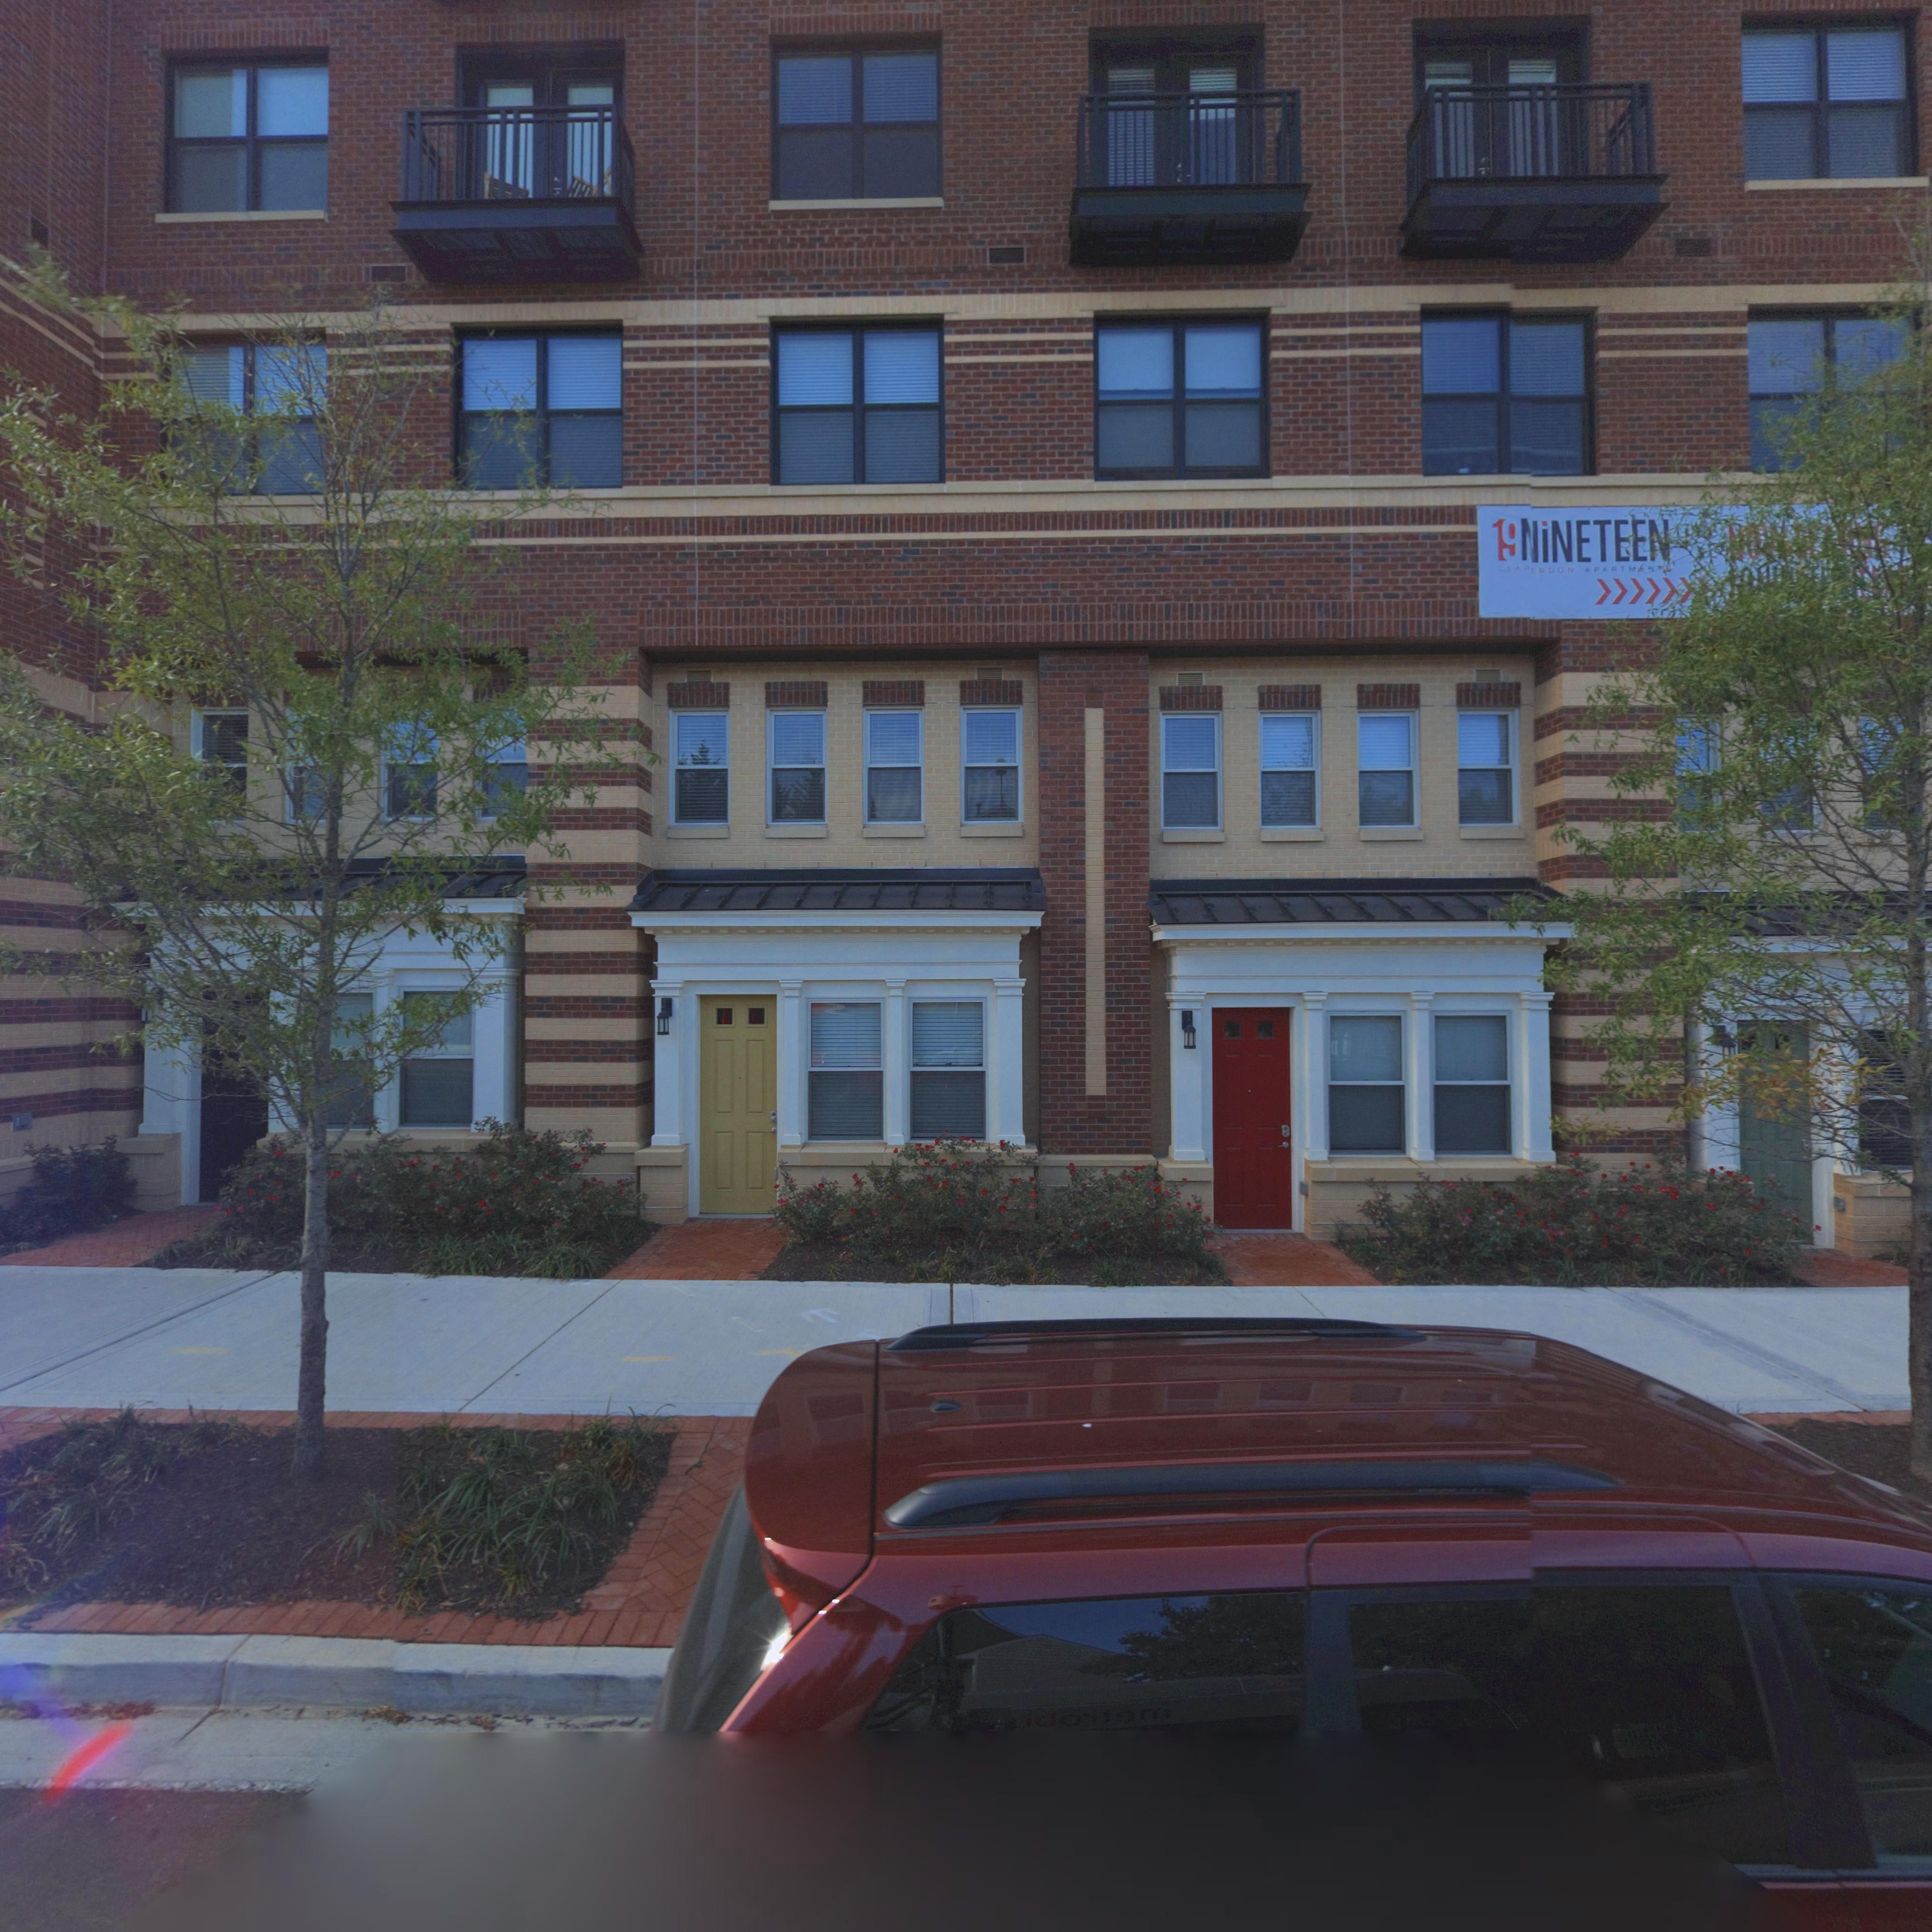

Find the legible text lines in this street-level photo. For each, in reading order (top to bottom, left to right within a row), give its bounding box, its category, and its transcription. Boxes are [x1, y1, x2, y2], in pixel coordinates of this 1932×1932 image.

[1517, 515, 1673, 564] None: *iNETEEN
[1530, 565, 1638, 575] None: ENDON APARTM